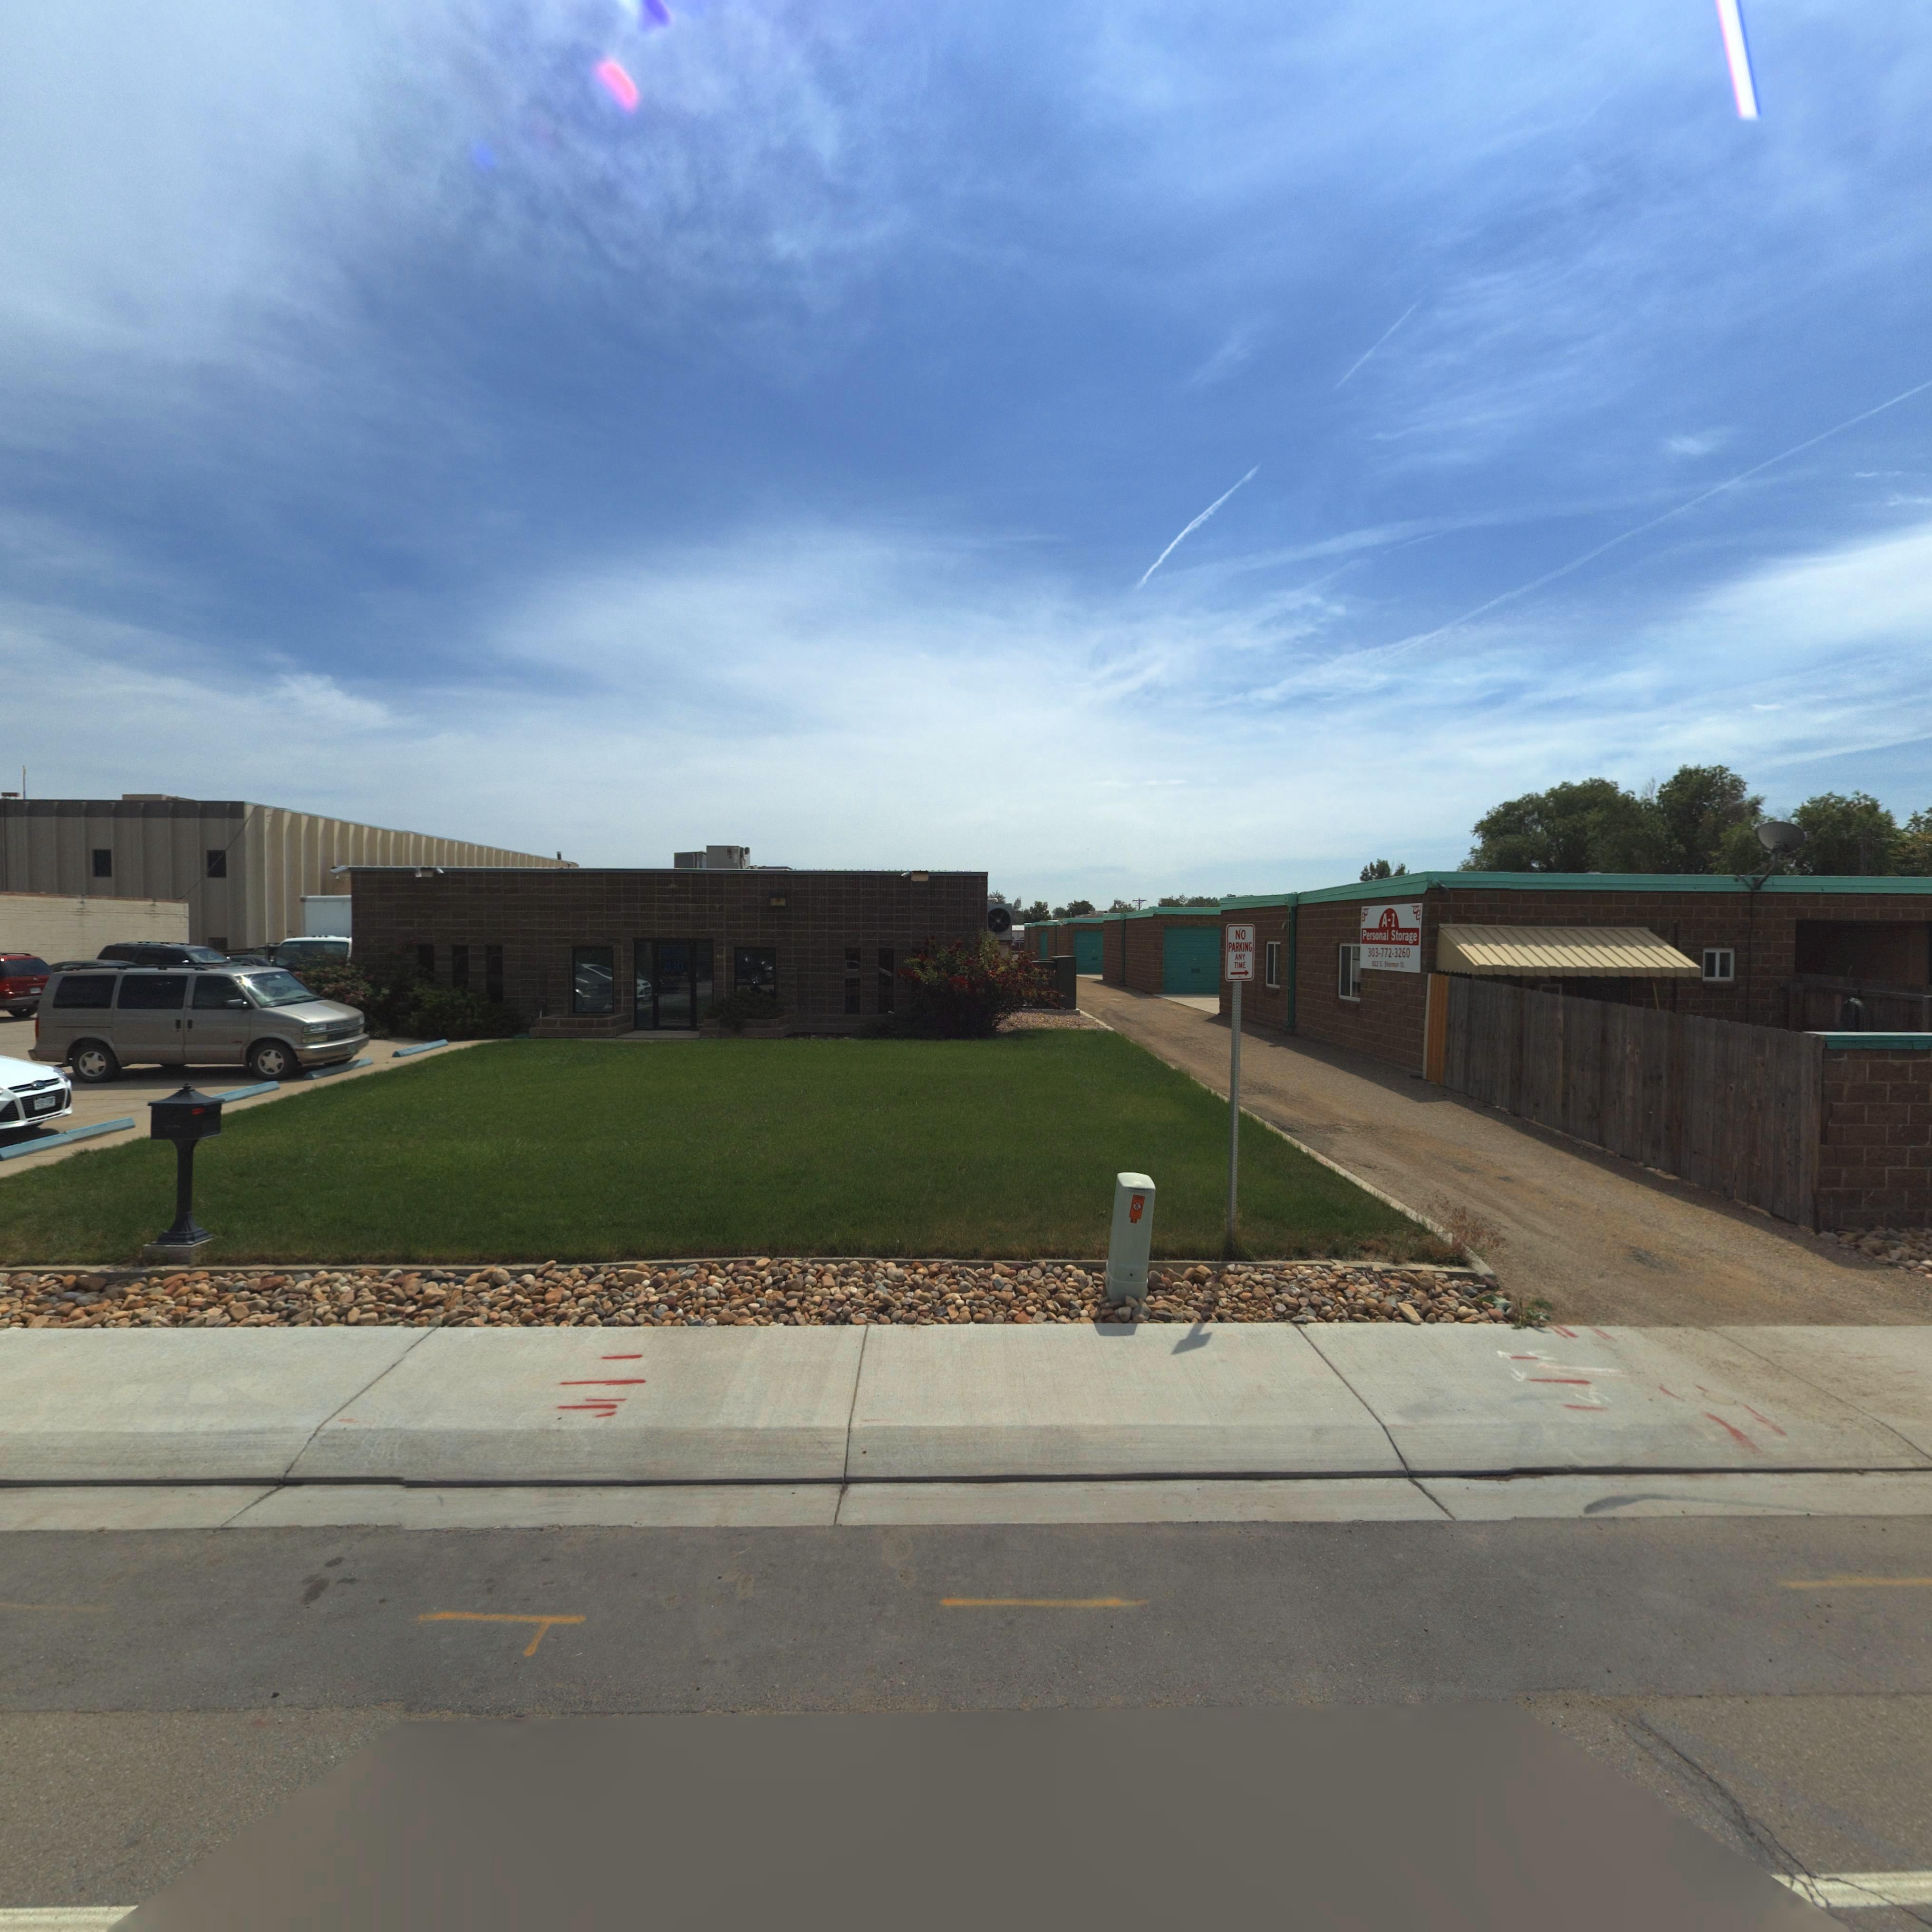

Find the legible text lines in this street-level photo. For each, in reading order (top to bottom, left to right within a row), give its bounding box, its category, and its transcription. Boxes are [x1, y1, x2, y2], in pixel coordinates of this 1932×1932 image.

[1381, 913, 1395, 927] BusinessName: A-1
[1362, 929, 1417, 944] BusinessName: Personal Storage
[1372, 960, 1379, 966] StreetNumber: 822
[1379, 961, 1405, 967] StreetName: S. Sherman St.